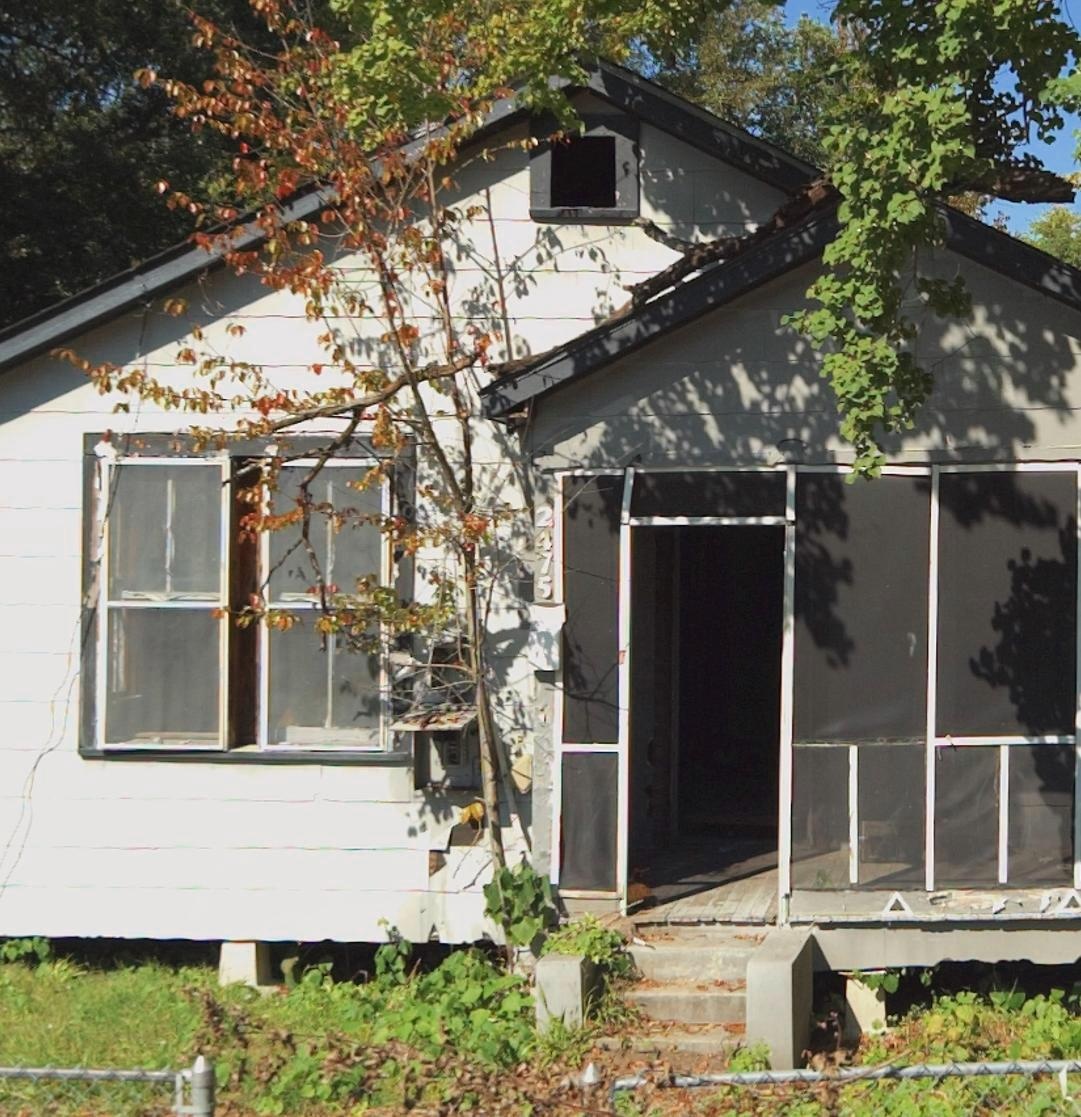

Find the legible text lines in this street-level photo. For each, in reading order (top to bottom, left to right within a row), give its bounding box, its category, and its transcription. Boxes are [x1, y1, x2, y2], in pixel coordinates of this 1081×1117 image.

[533, 505, 555, 600] StreetNumber: 2475